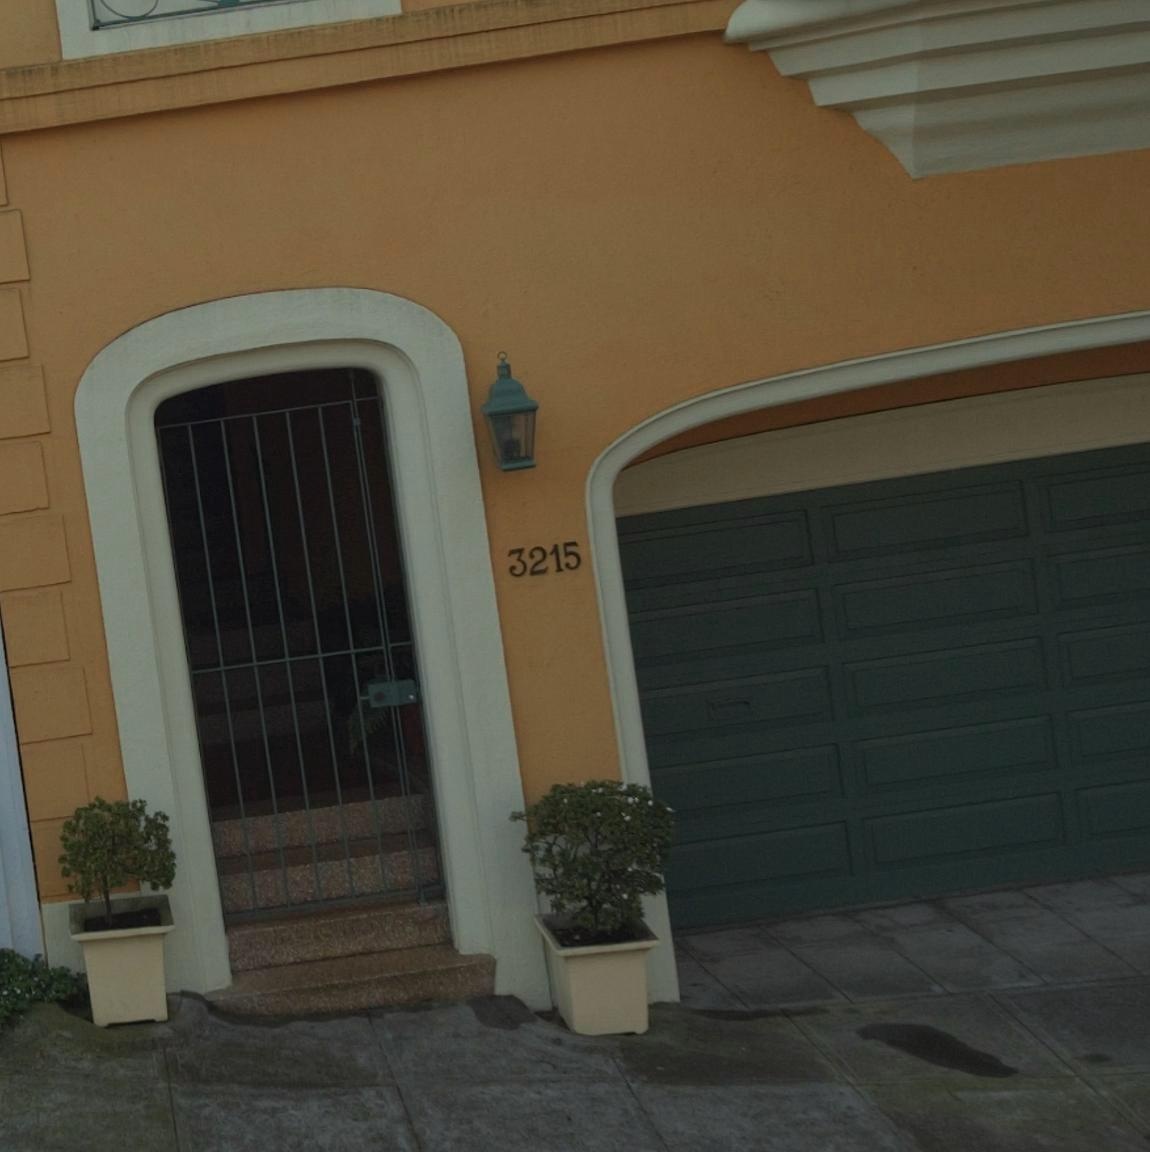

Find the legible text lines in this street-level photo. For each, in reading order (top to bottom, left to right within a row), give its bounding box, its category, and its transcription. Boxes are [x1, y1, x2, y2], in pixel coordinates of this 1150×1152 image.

[505, 537, 586, 584] StreetNumber: 3215